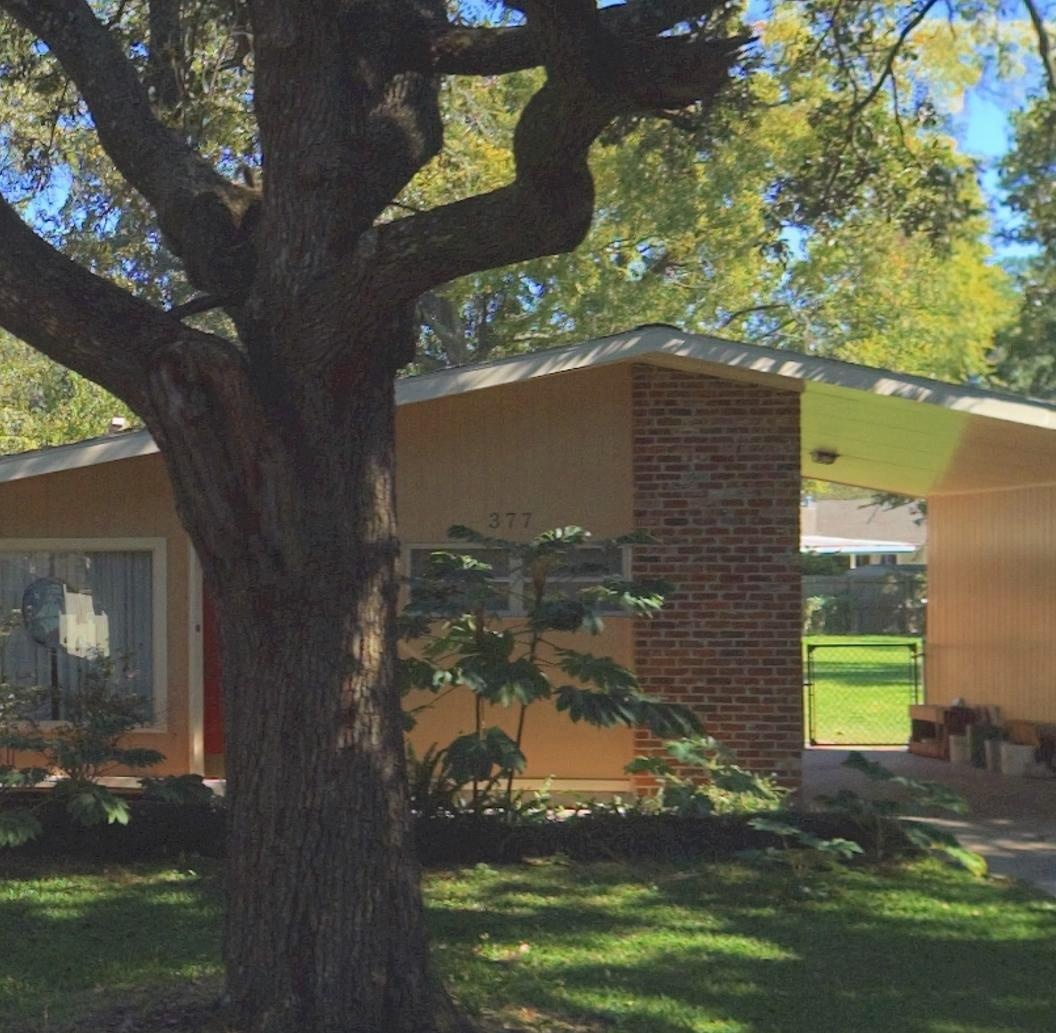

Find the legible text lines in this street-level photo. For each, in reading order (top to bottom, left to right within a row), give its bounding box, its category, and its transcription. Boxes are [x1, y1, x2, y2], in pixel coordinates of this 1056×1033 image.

[488, 511, 532, 530] StreetNumber: 377